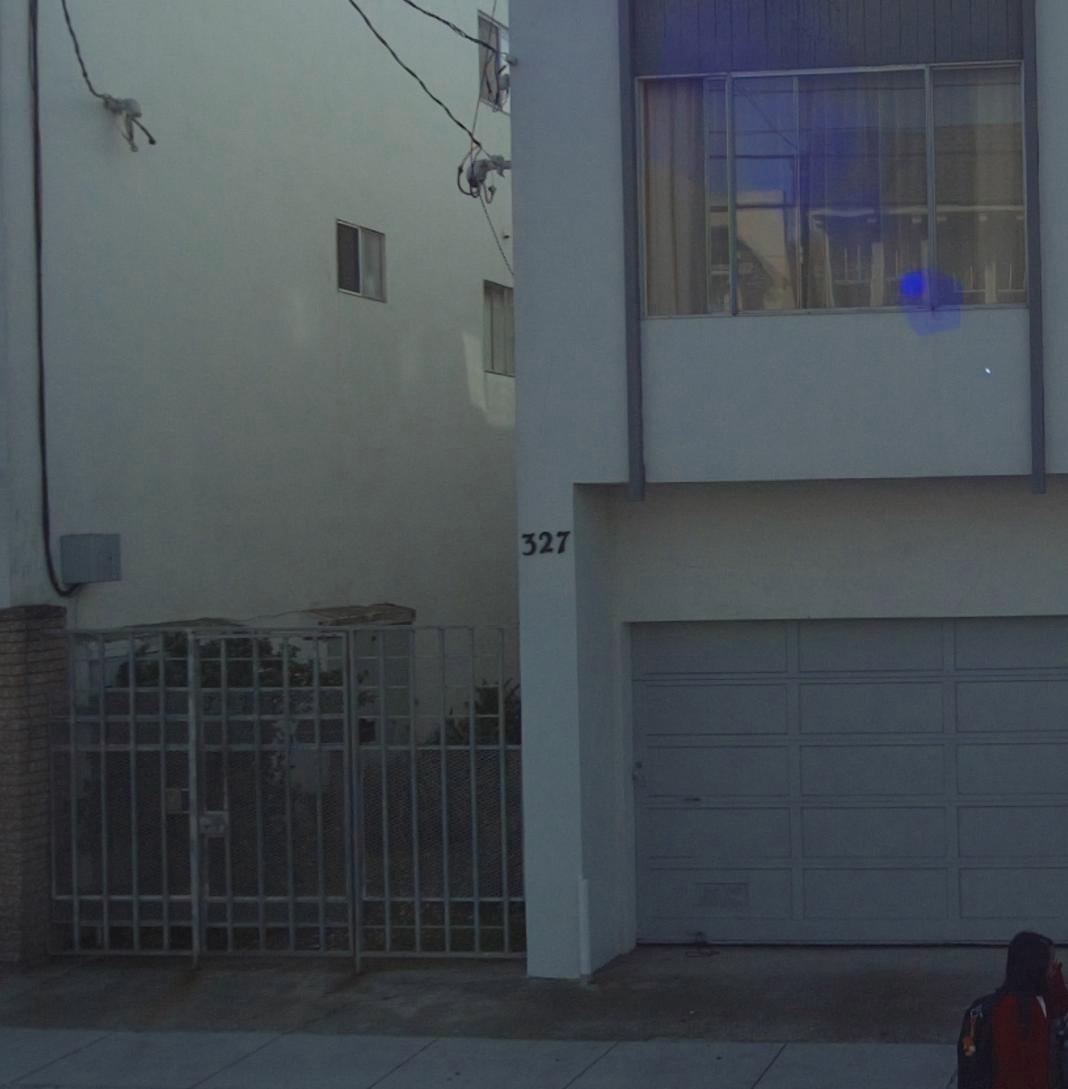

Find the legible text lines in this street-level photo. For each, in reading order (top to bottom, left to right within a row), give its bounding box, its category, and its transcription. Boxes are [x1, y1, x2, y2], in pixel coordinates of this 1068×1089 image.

[520, 529, 572, 557] StreetNumber: 327